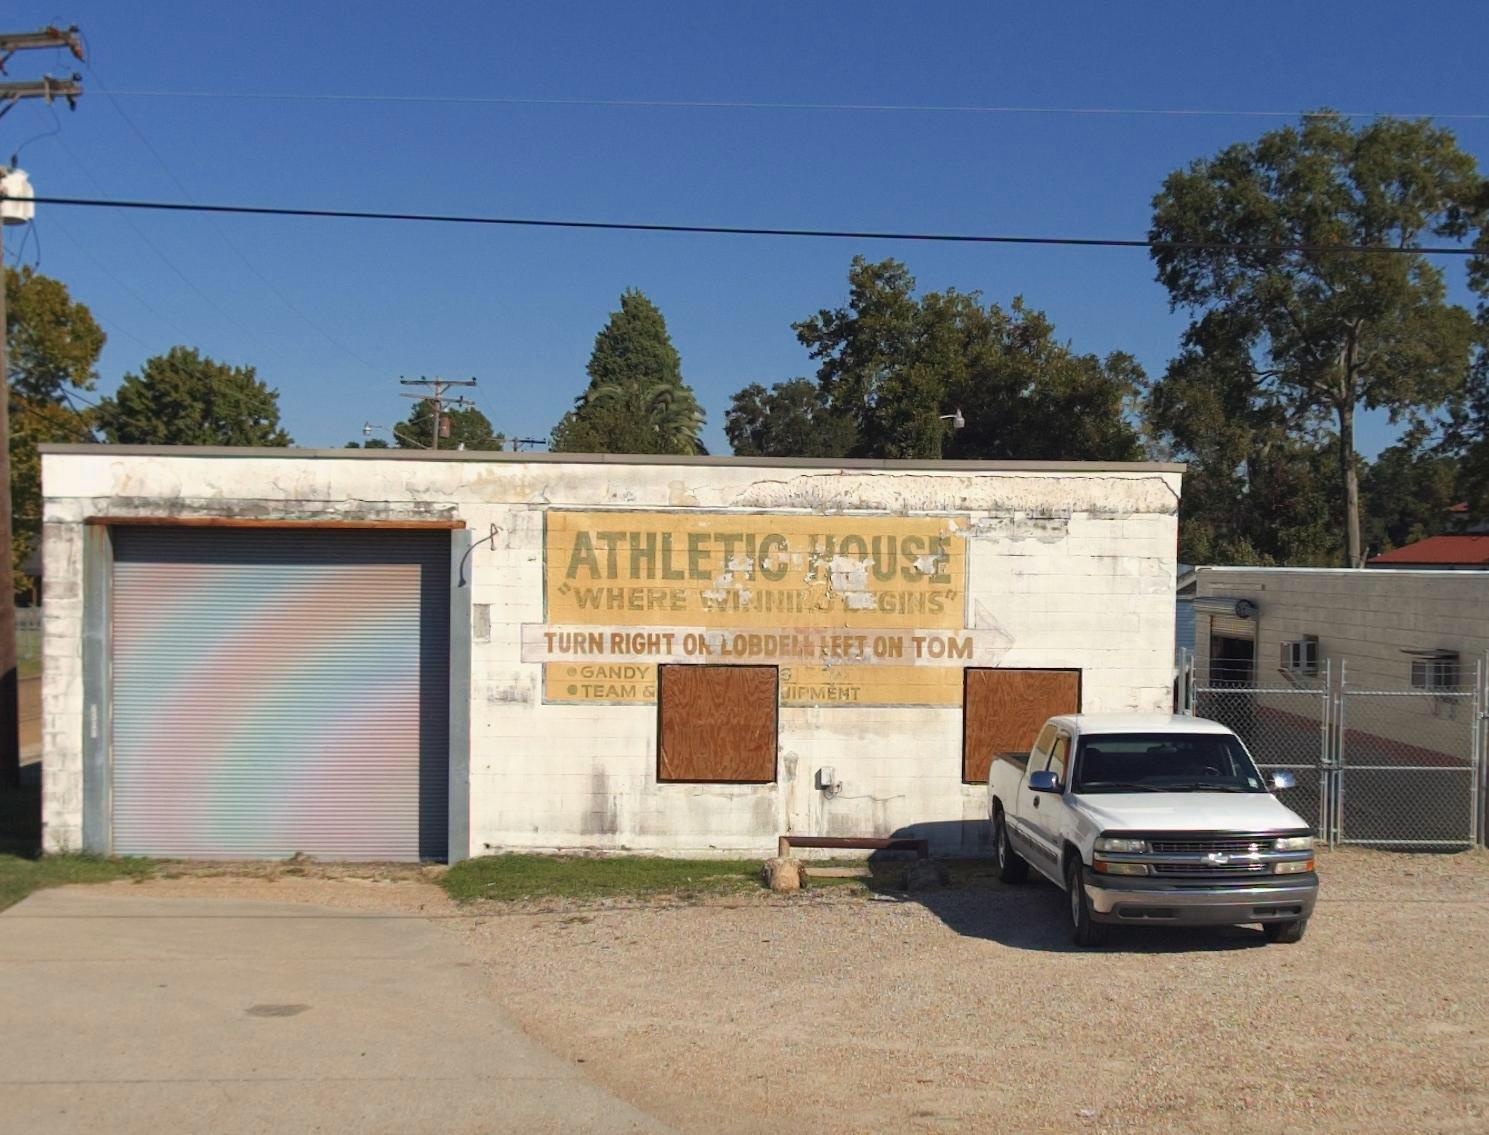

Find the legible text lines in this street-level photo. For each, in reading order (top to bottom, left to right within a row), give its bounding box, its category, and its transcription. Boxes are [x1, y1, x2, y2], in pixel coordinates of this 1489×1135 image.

[561, 527, 955, 586] None: ATHLETIC **U*E
[570, 584, 947, 617] None: WHERE *I*NI** ***GINS
[541, 629, 977, 663] None: TURN RIGHT O***OBDELL LEFT ON TOM
[578, 663, 654, 682] None: GANDY
[579, 681, 638, 701] None: TEAM
[789, 684, 864, 703] None: IPMENT